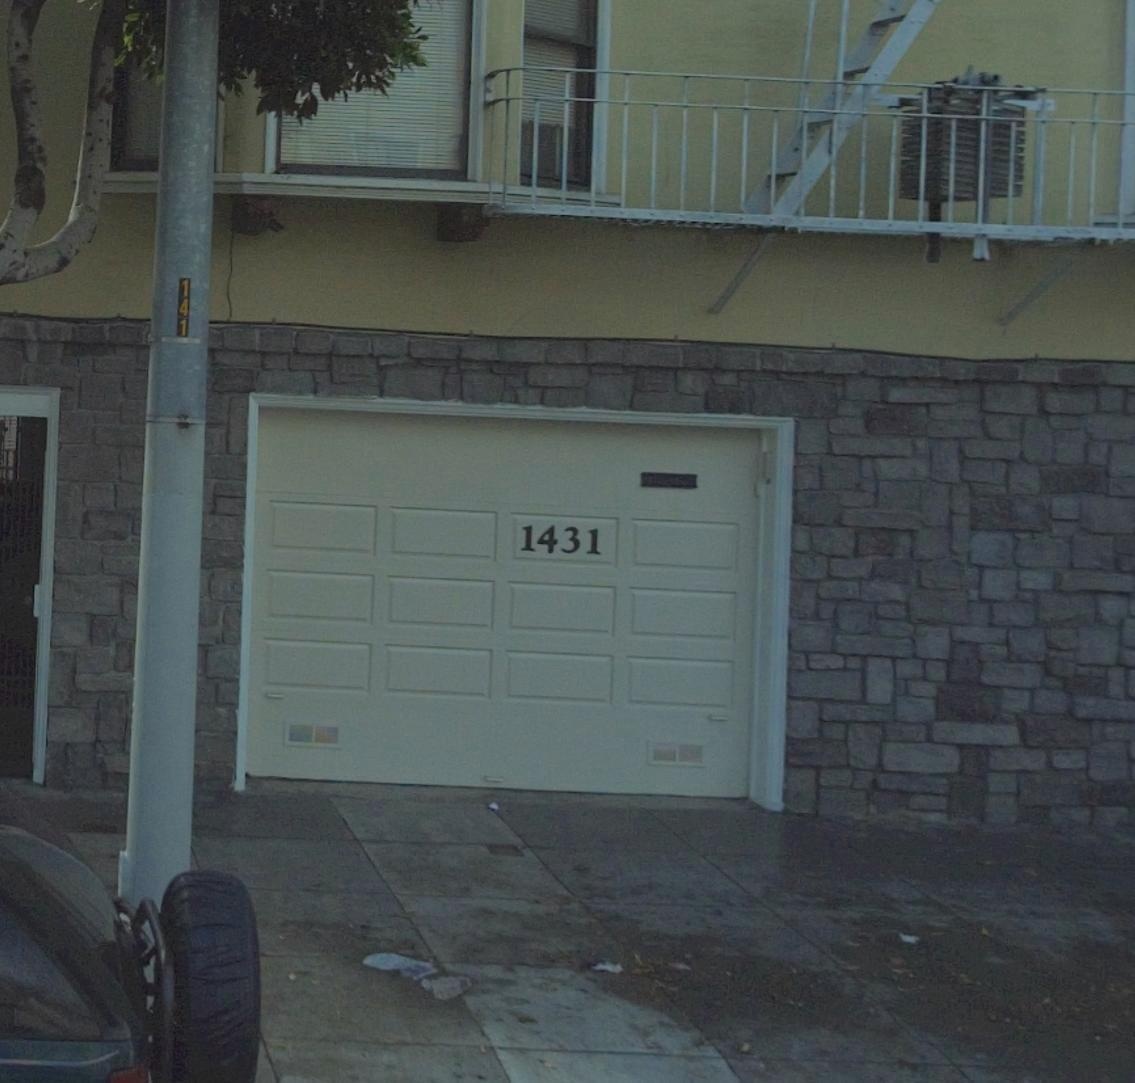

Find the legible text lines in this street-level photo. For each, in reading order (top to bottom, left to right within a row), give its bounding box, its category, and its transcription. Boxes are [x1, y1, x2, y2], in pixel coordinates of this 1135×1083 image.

[177, 276, 191, 339] None: 141
[517, 521, 603, 558] StreetNumber: 1431